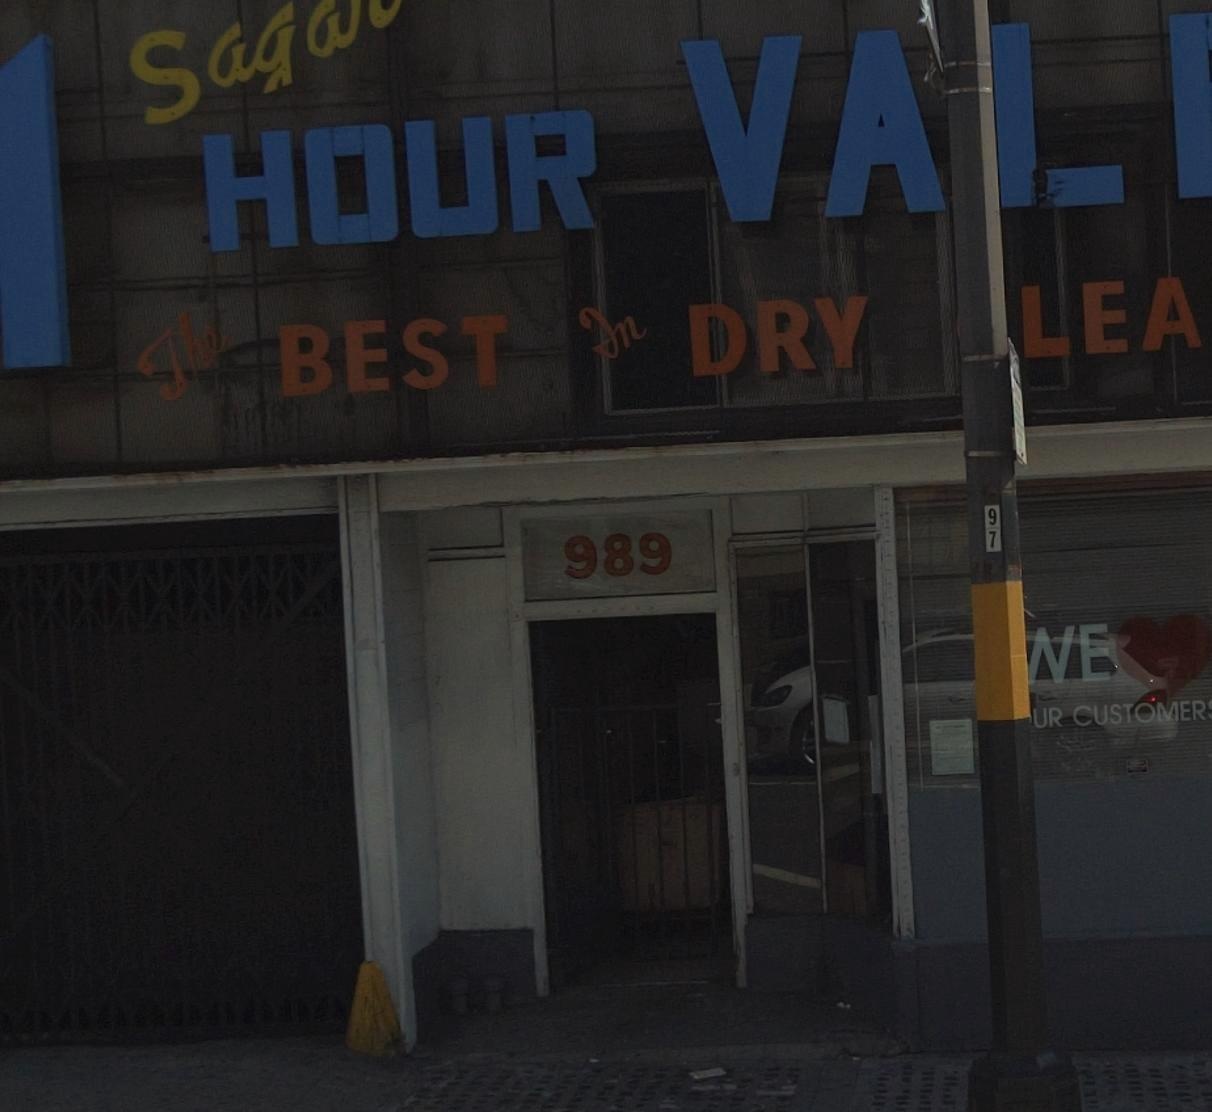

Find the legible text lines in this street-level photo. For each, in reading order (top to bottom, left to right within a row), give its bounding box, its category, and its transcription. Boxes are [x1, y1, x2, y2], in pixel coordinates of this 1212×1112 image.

[121, 0, 295, 132] None: Sag
[670, 25, 948, 226] None: VA
[984, 12, 1133, 212] None: L
[193, 105, 600, 258] None: HOUR
[126, 295, 240, 410] None: The
[270, 309, 512, 402] None: BEST
[570, 279, 657, 375] None: In
[680, 289, 878, 381] None: DRY
[1015, 271, 1207, 363] None: LEA
[560, 529, 676, 580] StreetNumber: 989
[985, 504, 1002, 552] None: 97
[1077, 620, 1112, 683] None: E
[1031, 697, 1208, 733] None: UR CUSTOMER